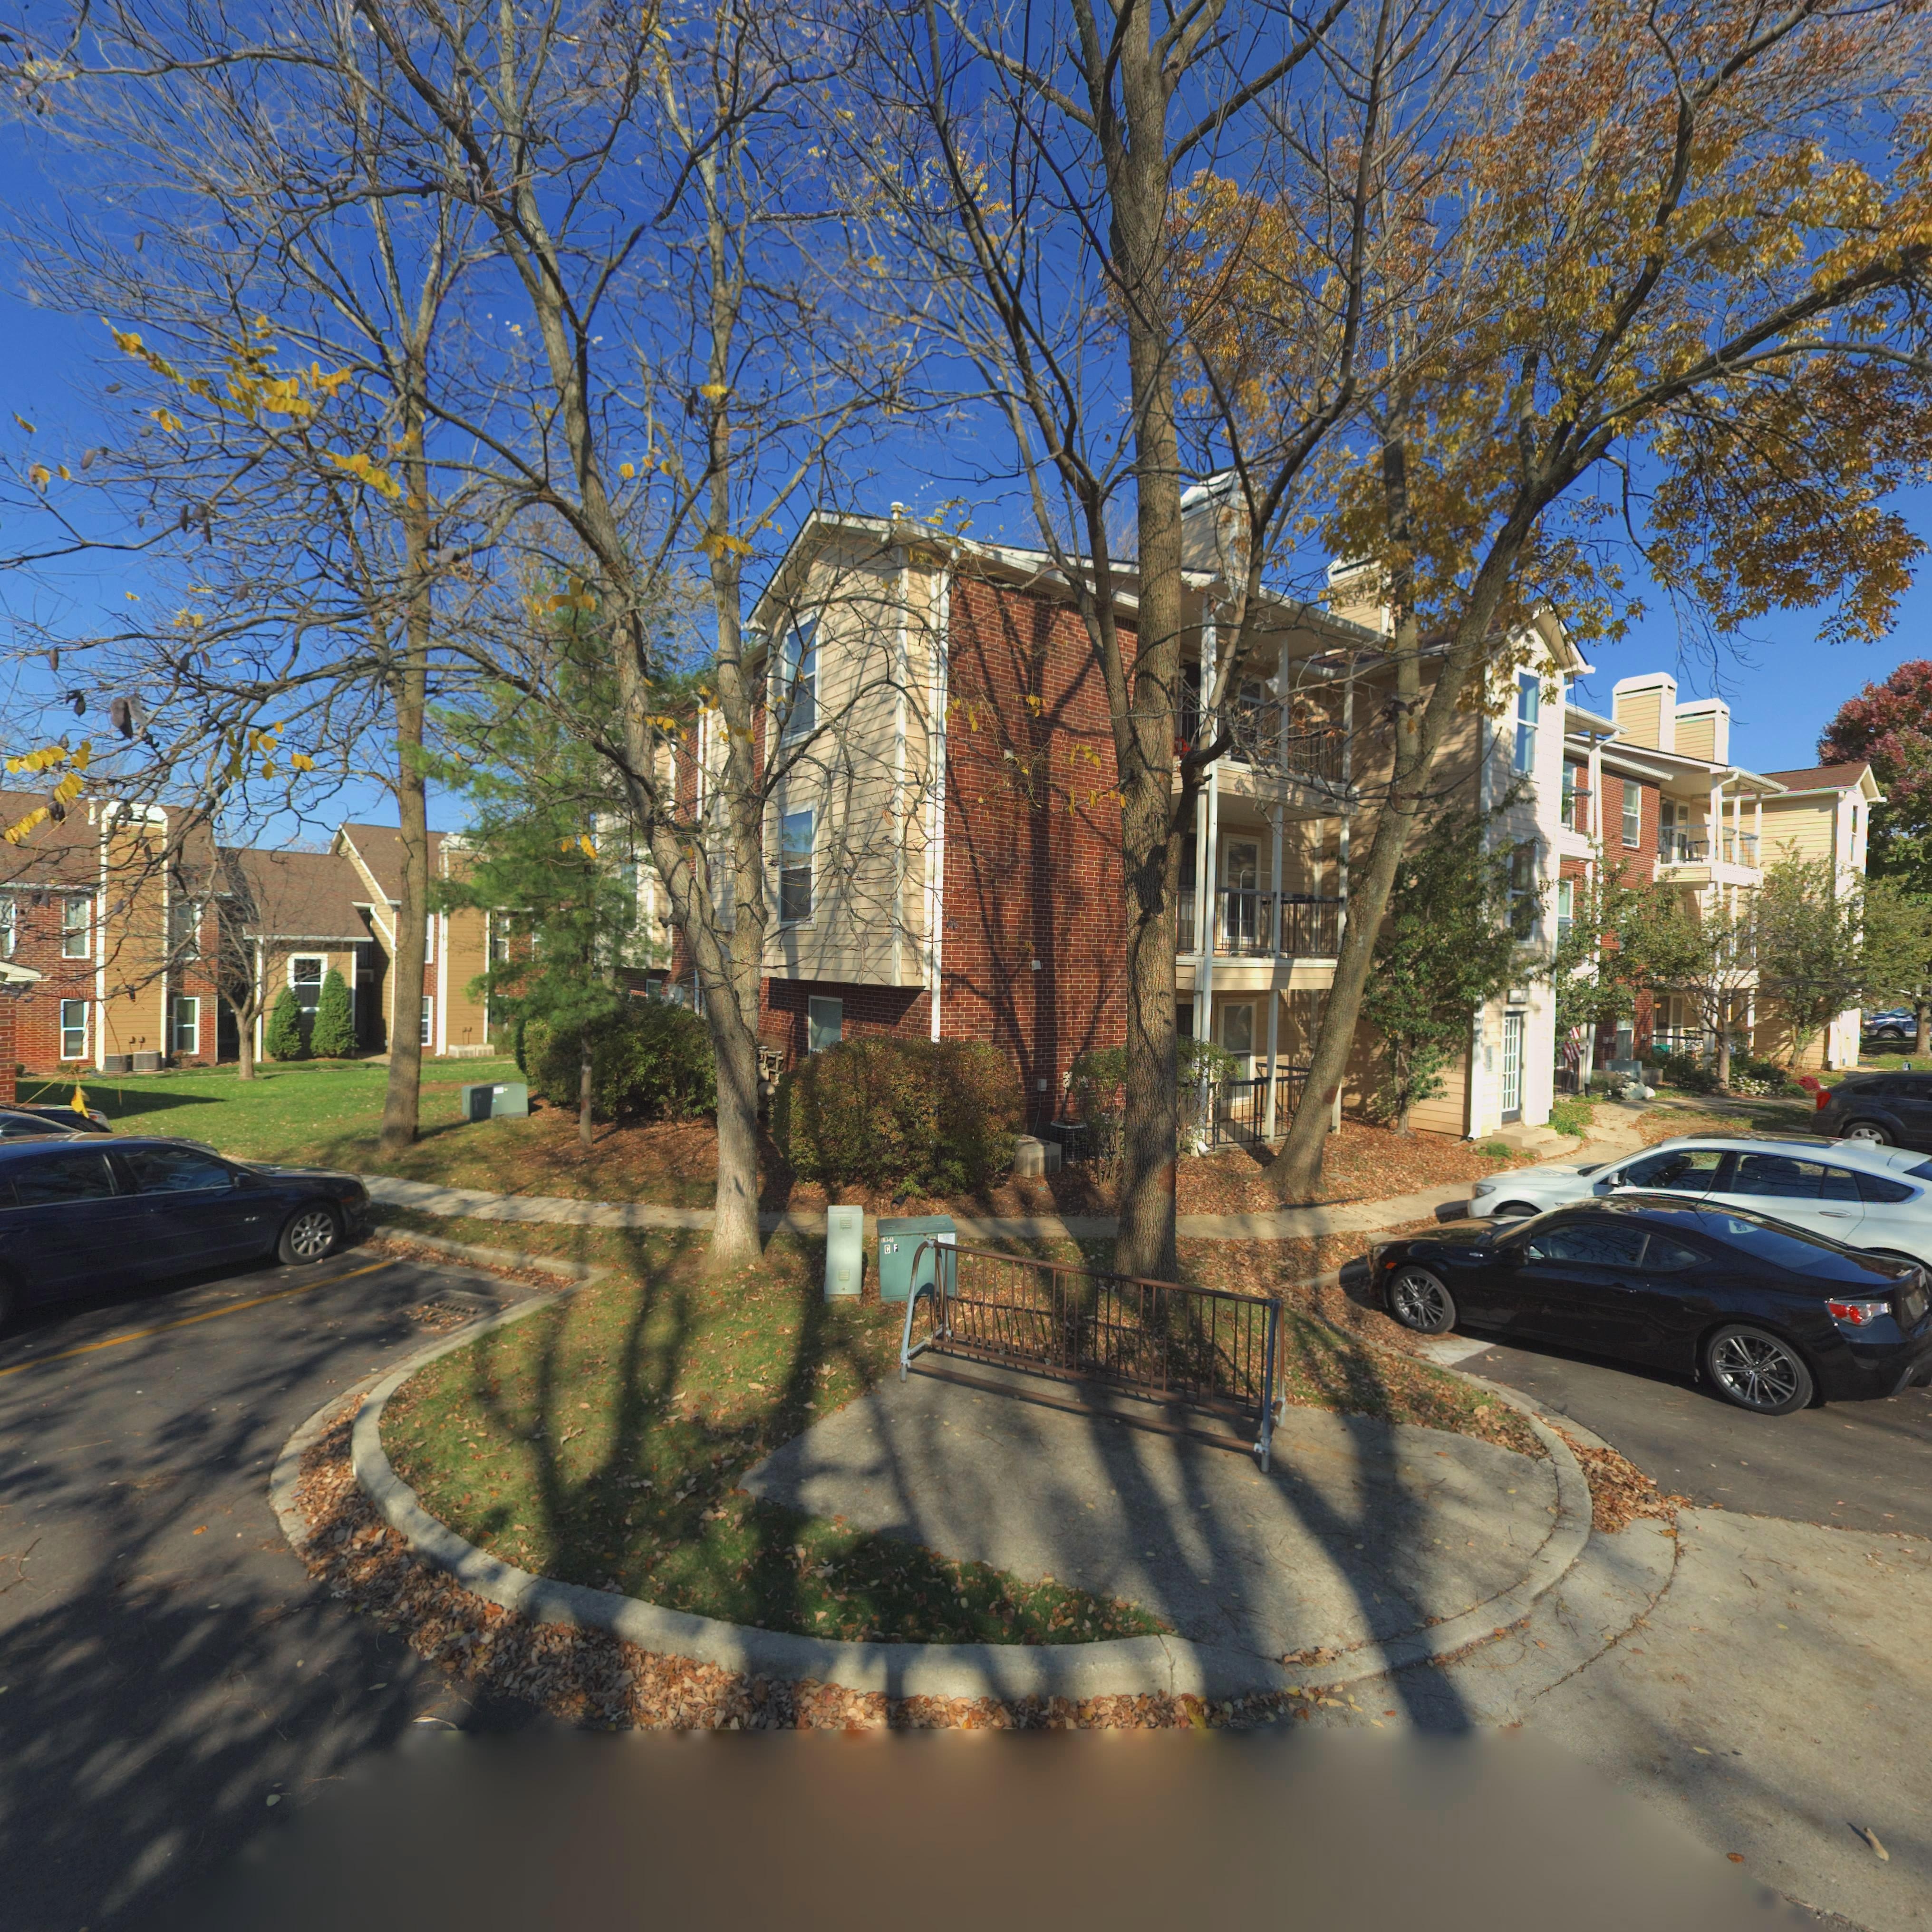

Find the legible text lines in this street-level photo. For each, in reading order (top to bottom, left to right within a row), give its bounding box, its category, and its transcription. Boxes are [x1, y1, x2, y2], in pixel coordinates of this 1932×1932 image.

[884, 1245, 890, 1254] None: C
[892, 1243, 899, 1253] None: F